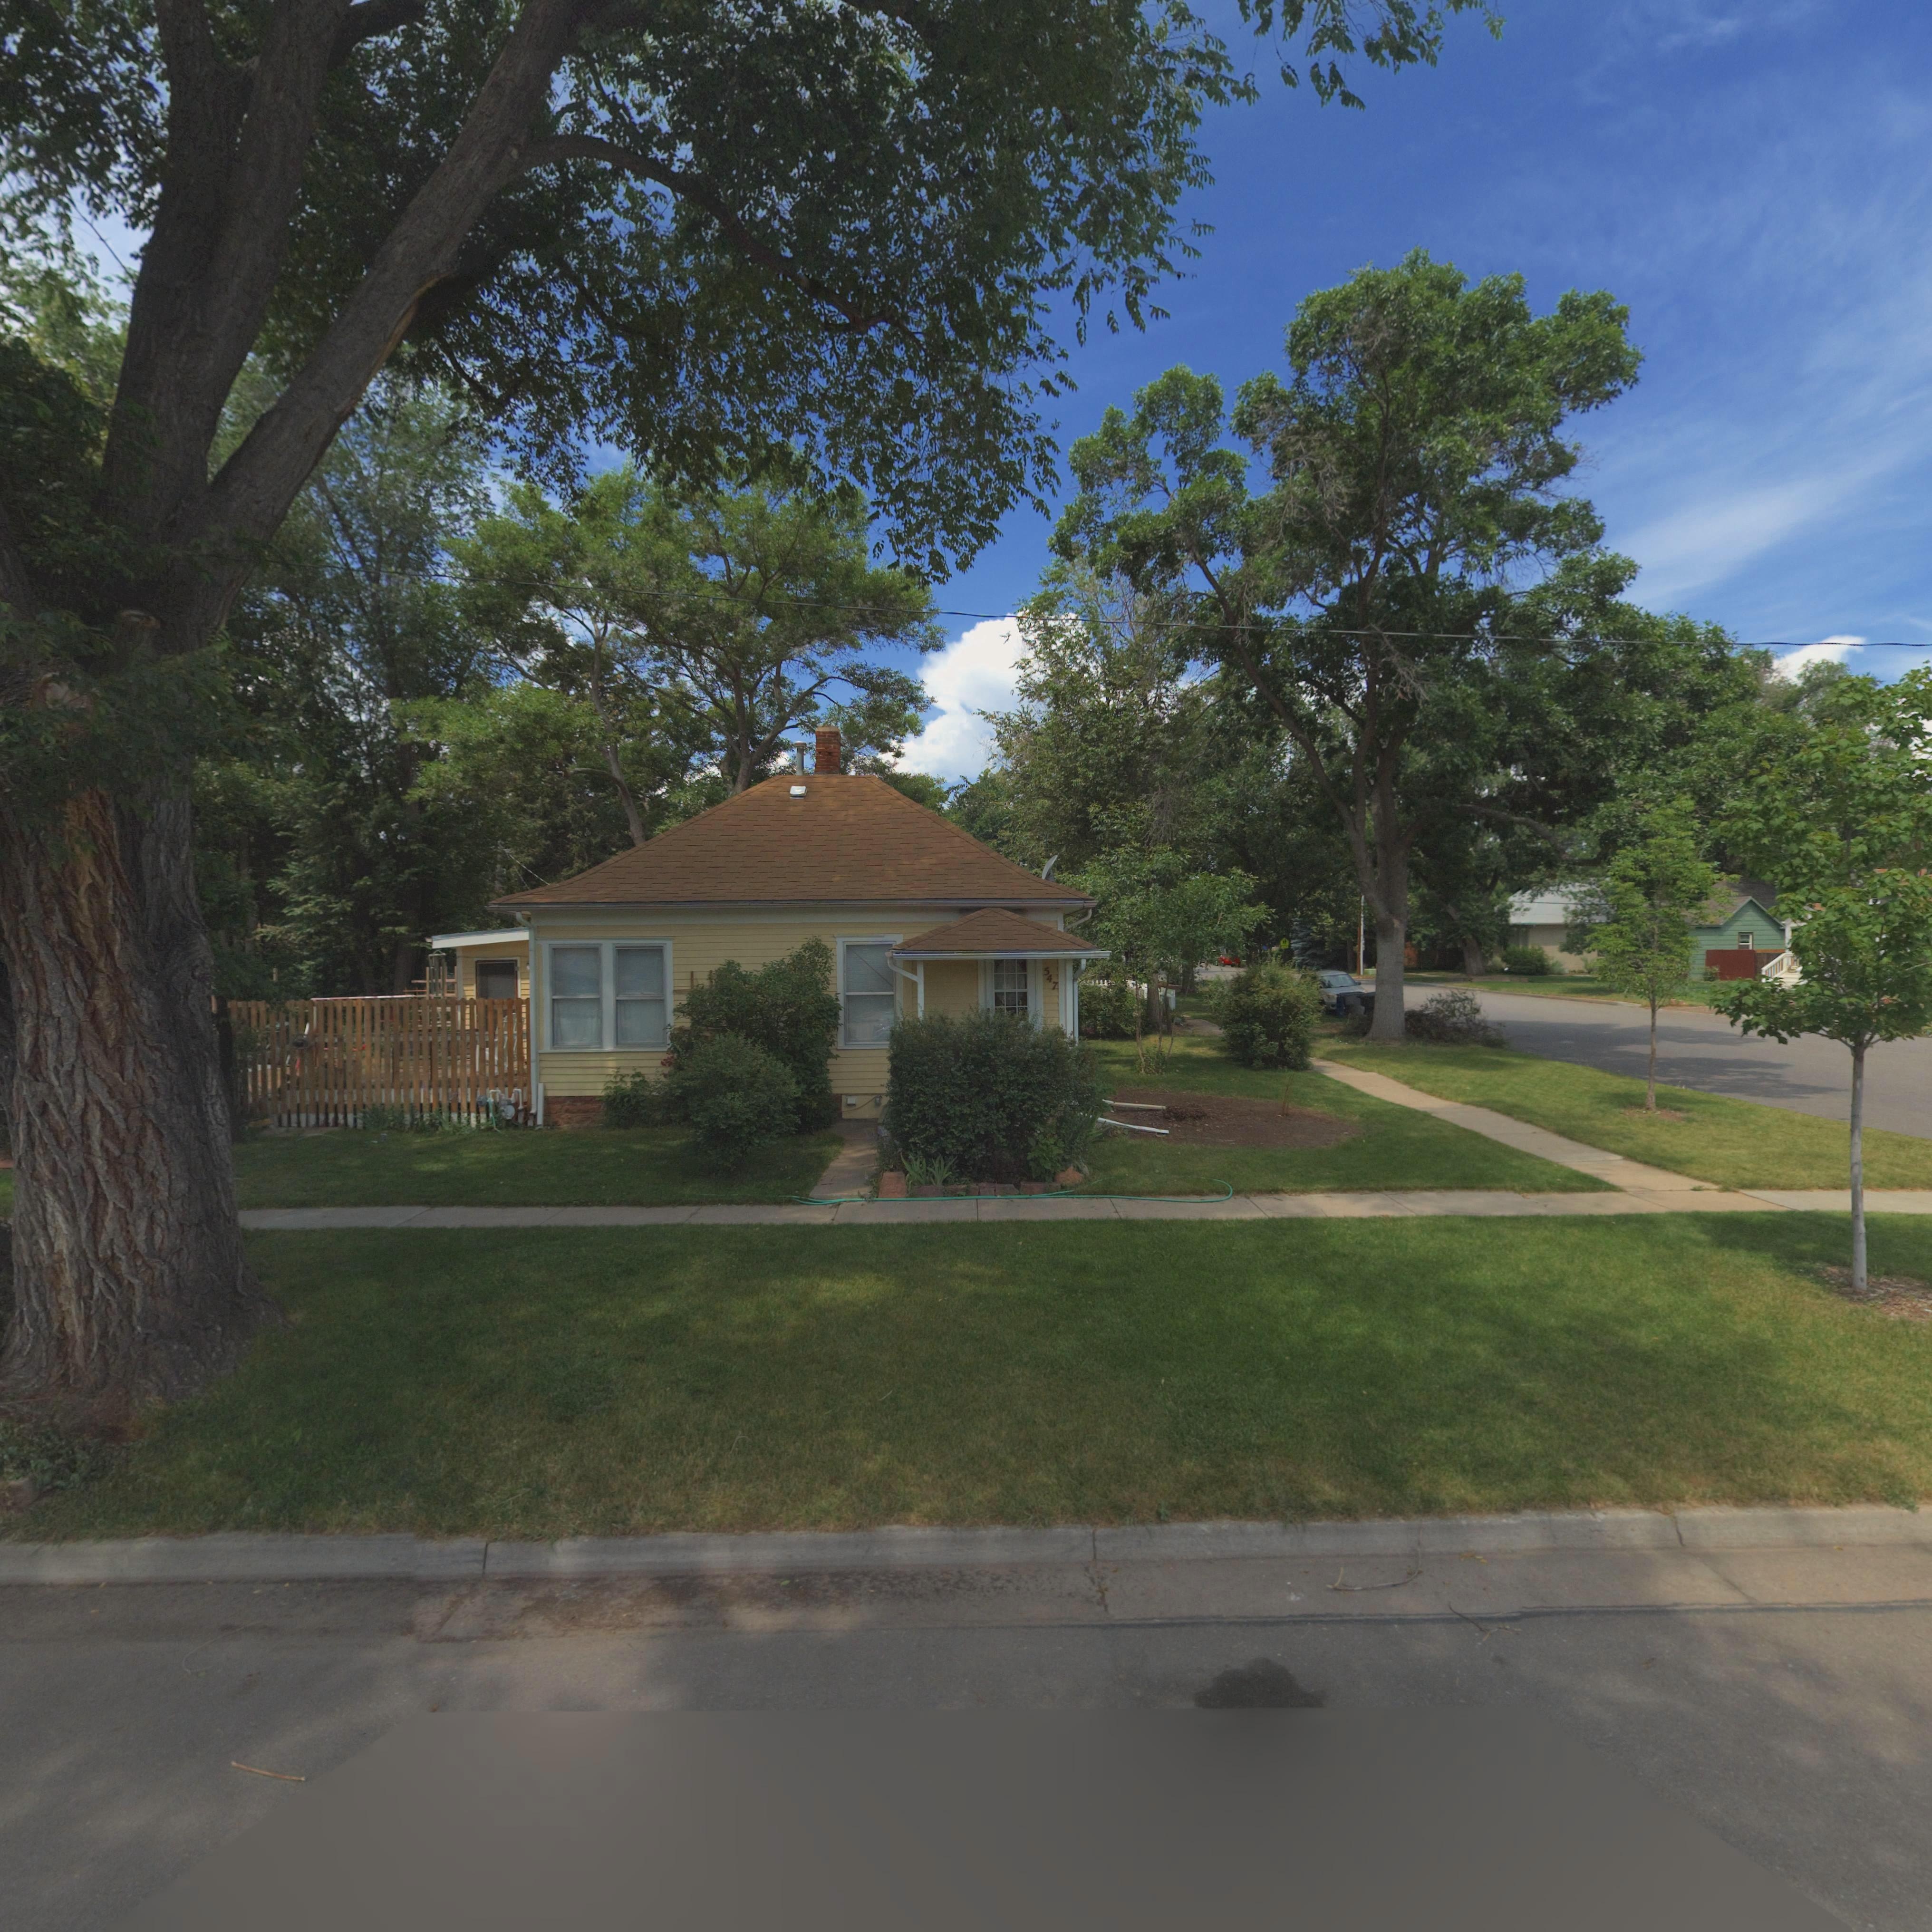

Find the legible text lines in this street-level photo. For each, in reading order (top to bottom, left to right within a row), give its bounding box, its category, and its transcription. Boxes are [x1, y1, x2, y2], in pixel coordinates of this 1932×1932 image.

[1043, 966, 1059, 990] StreetNumber: 547